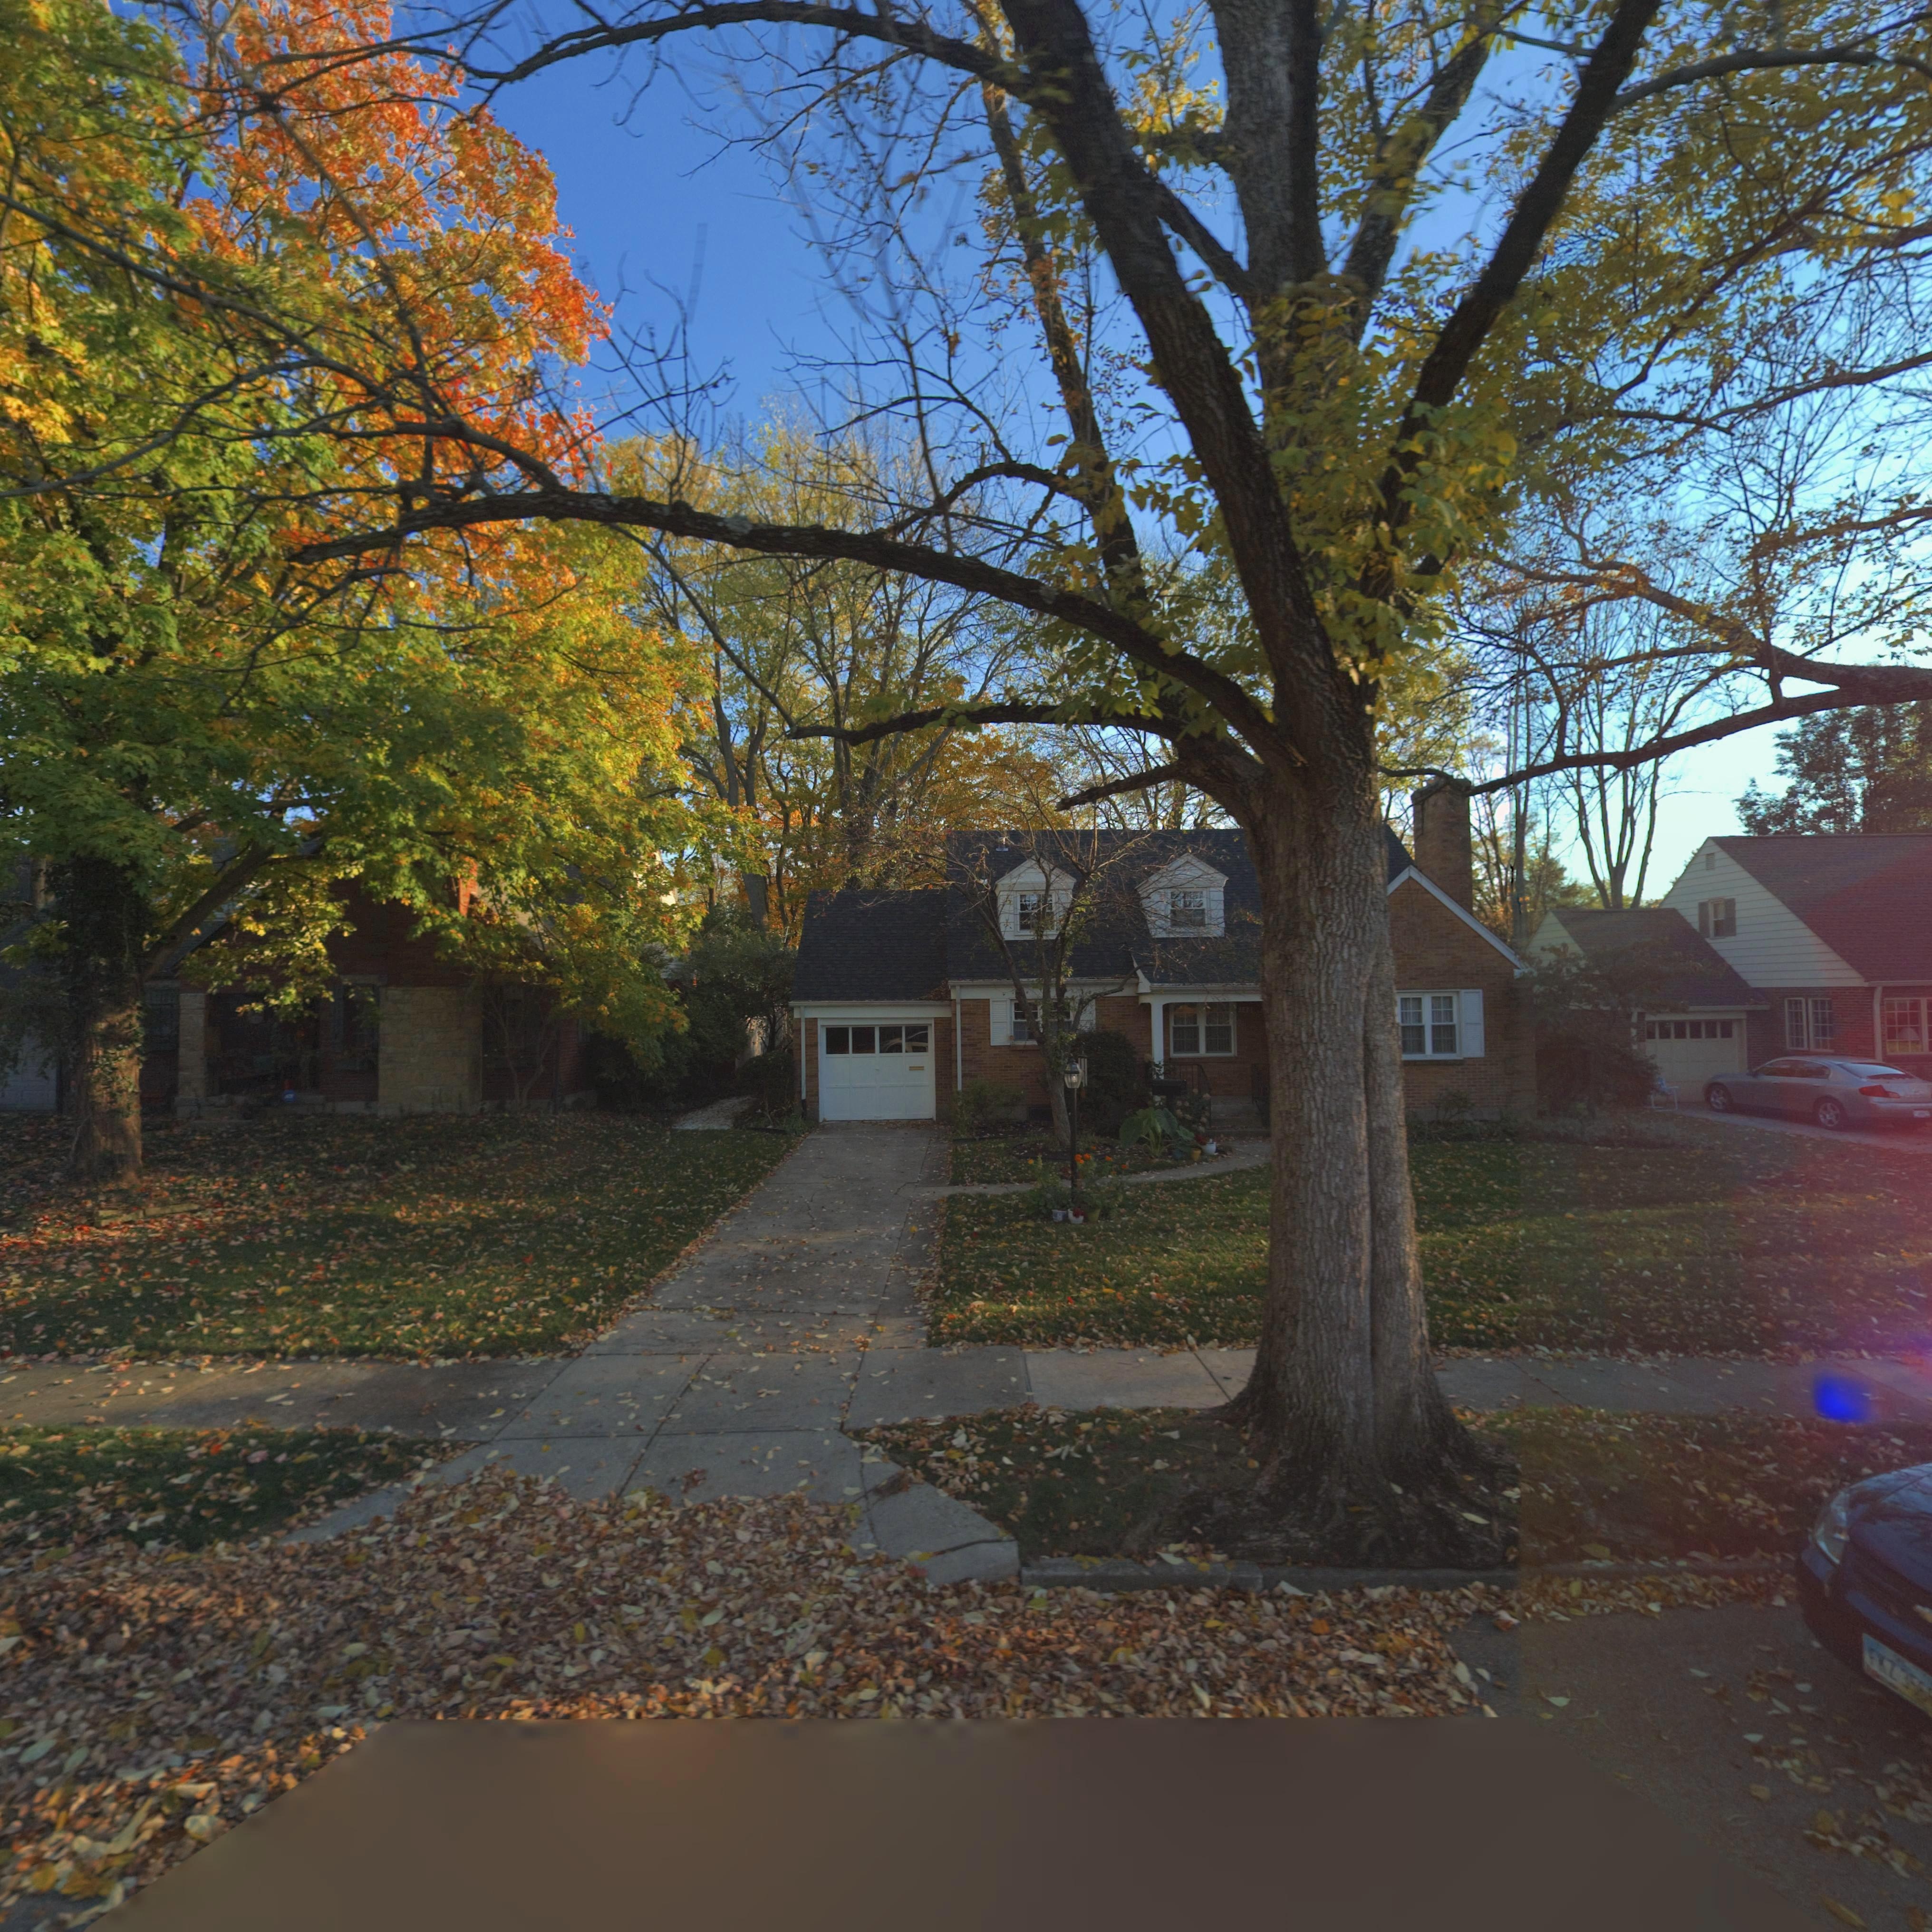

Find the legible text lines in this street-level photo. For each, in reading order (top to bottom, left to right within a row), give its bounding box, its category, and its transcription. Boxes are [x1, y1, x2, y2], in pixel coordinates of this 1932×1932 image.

[1239, 1006, 1252, 1013] StreetNumber: 148